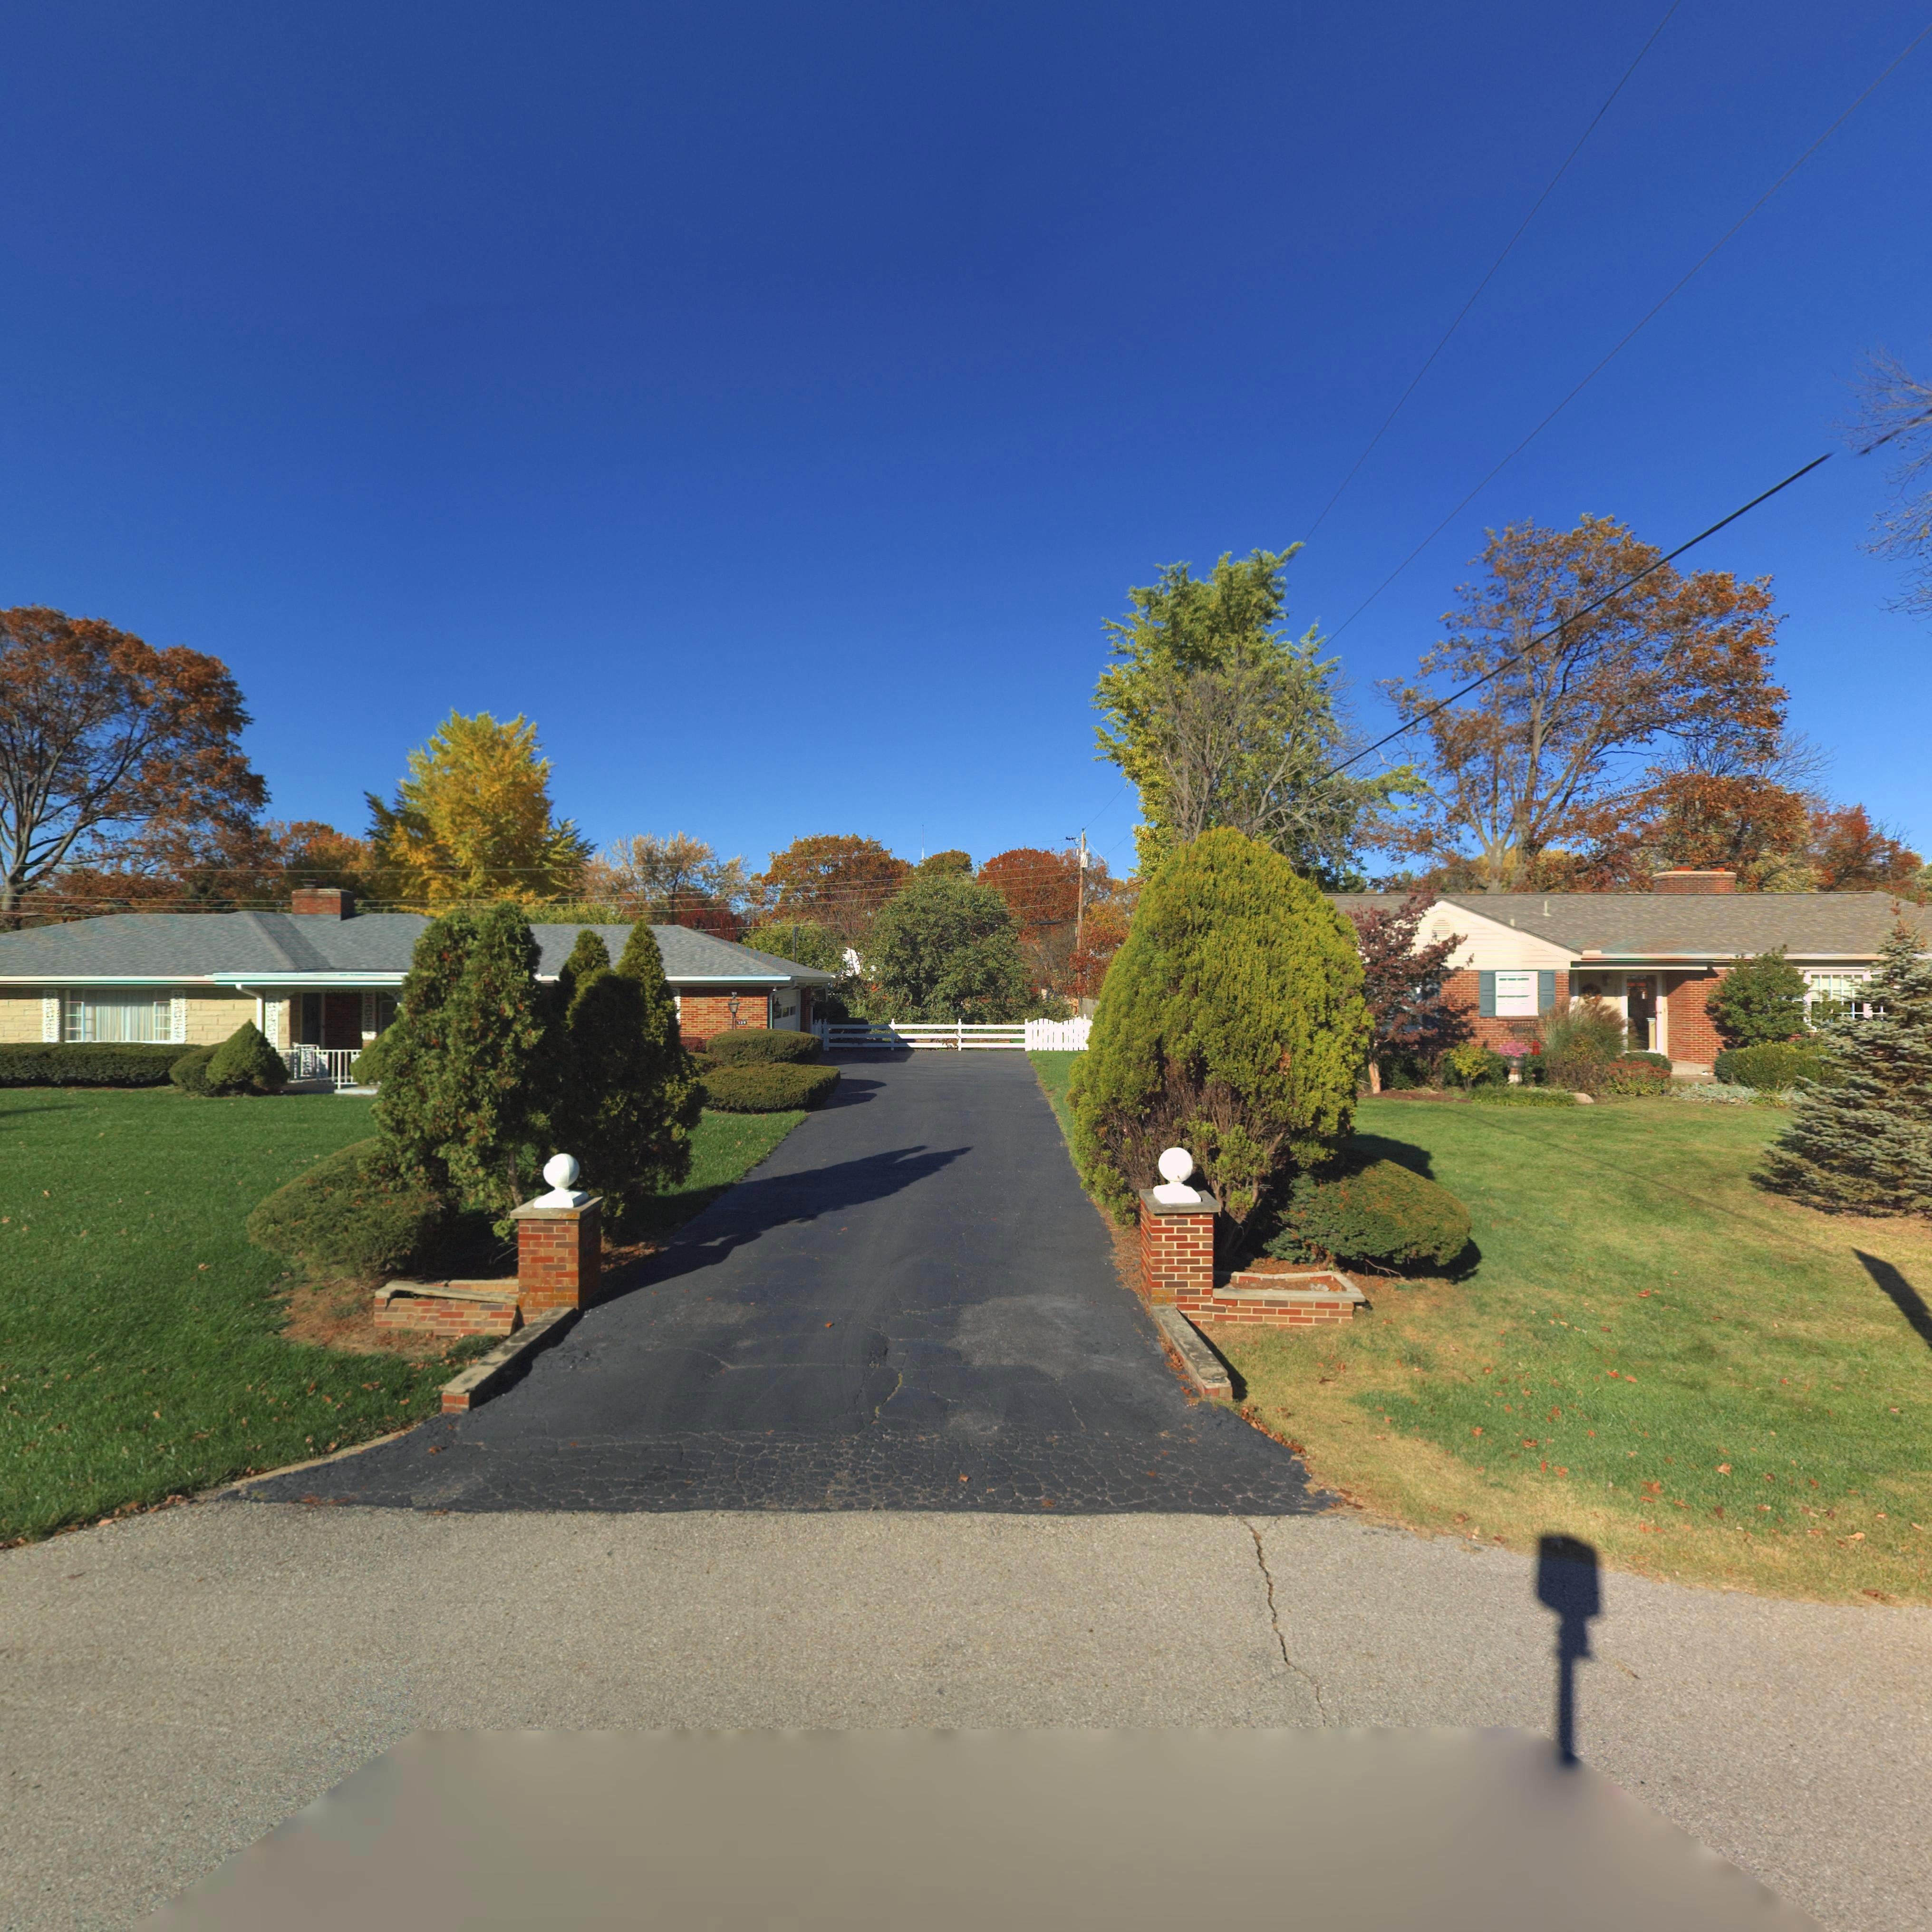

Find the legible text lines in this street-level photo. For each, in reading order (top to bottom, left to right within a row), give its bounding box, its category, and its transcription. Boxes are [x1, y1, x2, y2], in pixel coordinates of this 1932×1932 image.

[1613, 983, 1618, 1001] StreetNumber: 109
[737, 1021, 746, 1024] StreetNumber: 1*9